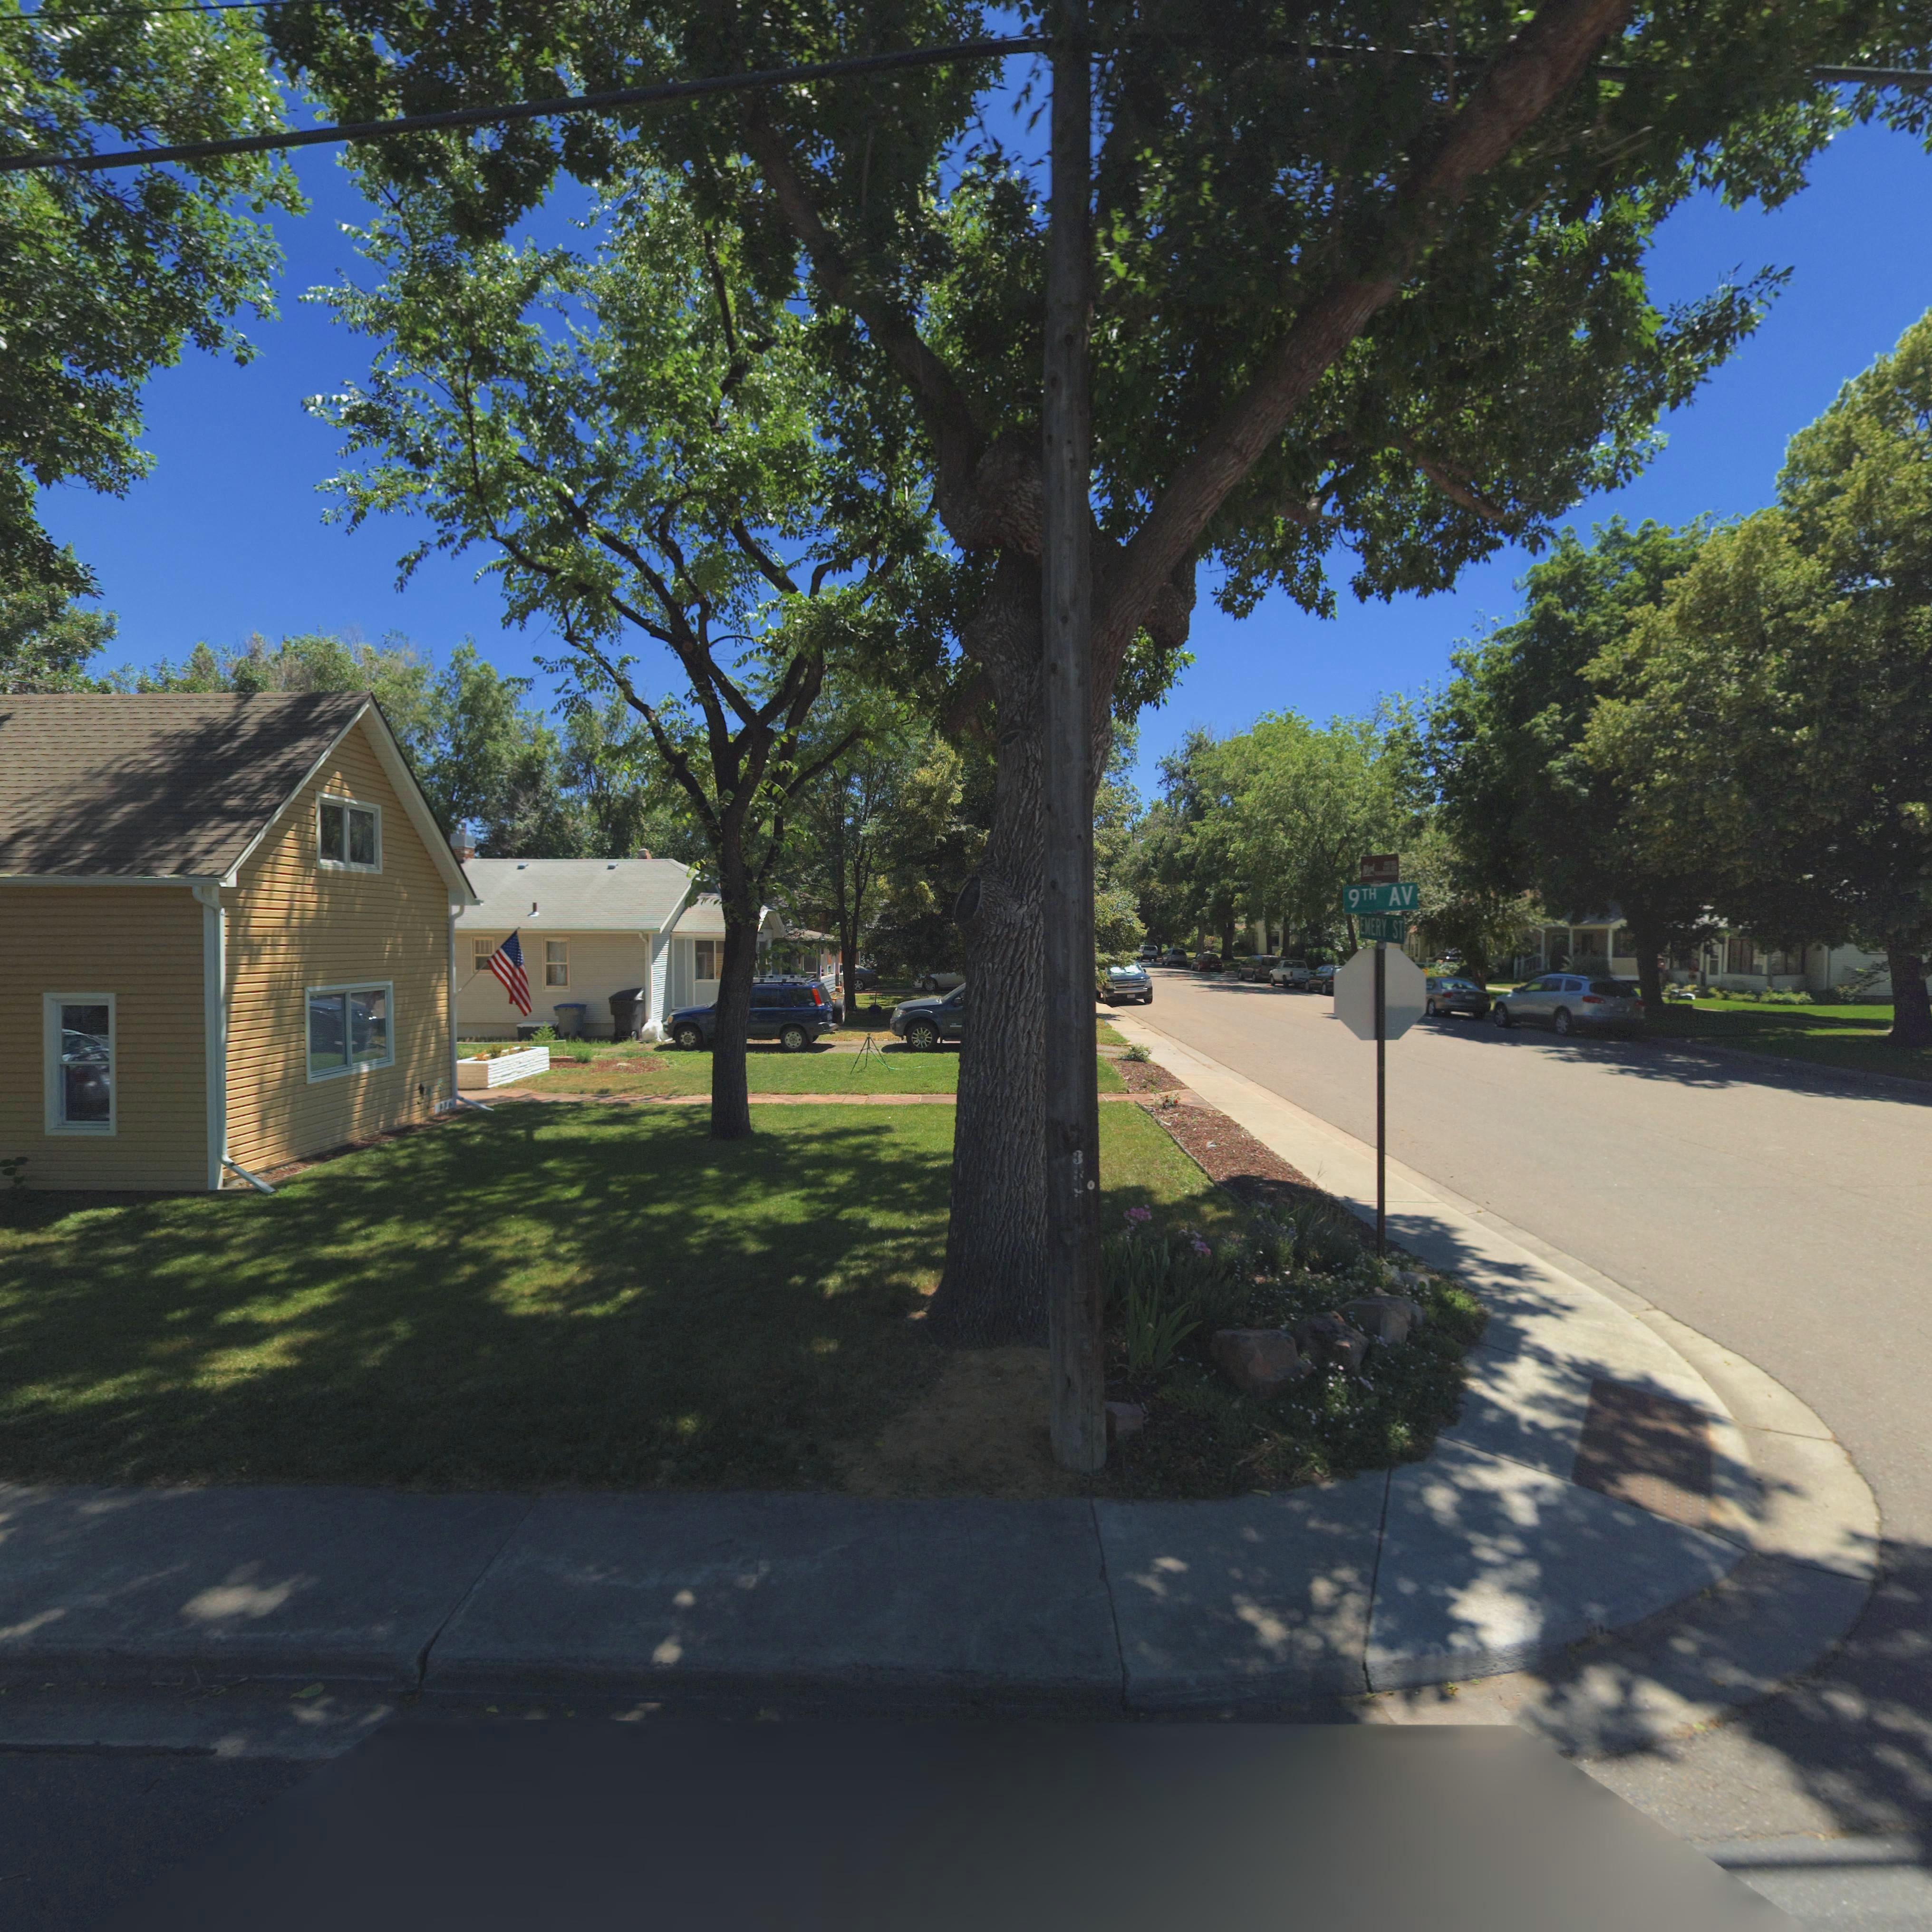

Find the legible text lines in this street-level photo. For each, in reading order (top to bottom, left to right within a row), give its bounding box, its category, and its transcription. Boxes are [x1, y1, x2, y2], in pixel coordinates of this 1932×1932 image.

[1347, 885, 1413, 908] StreetName: 9TH AV
[1359, 915, 1404, 940] StreetName: EMERY ST
[438, 1100, 453, 1111] StreetNumber: *36